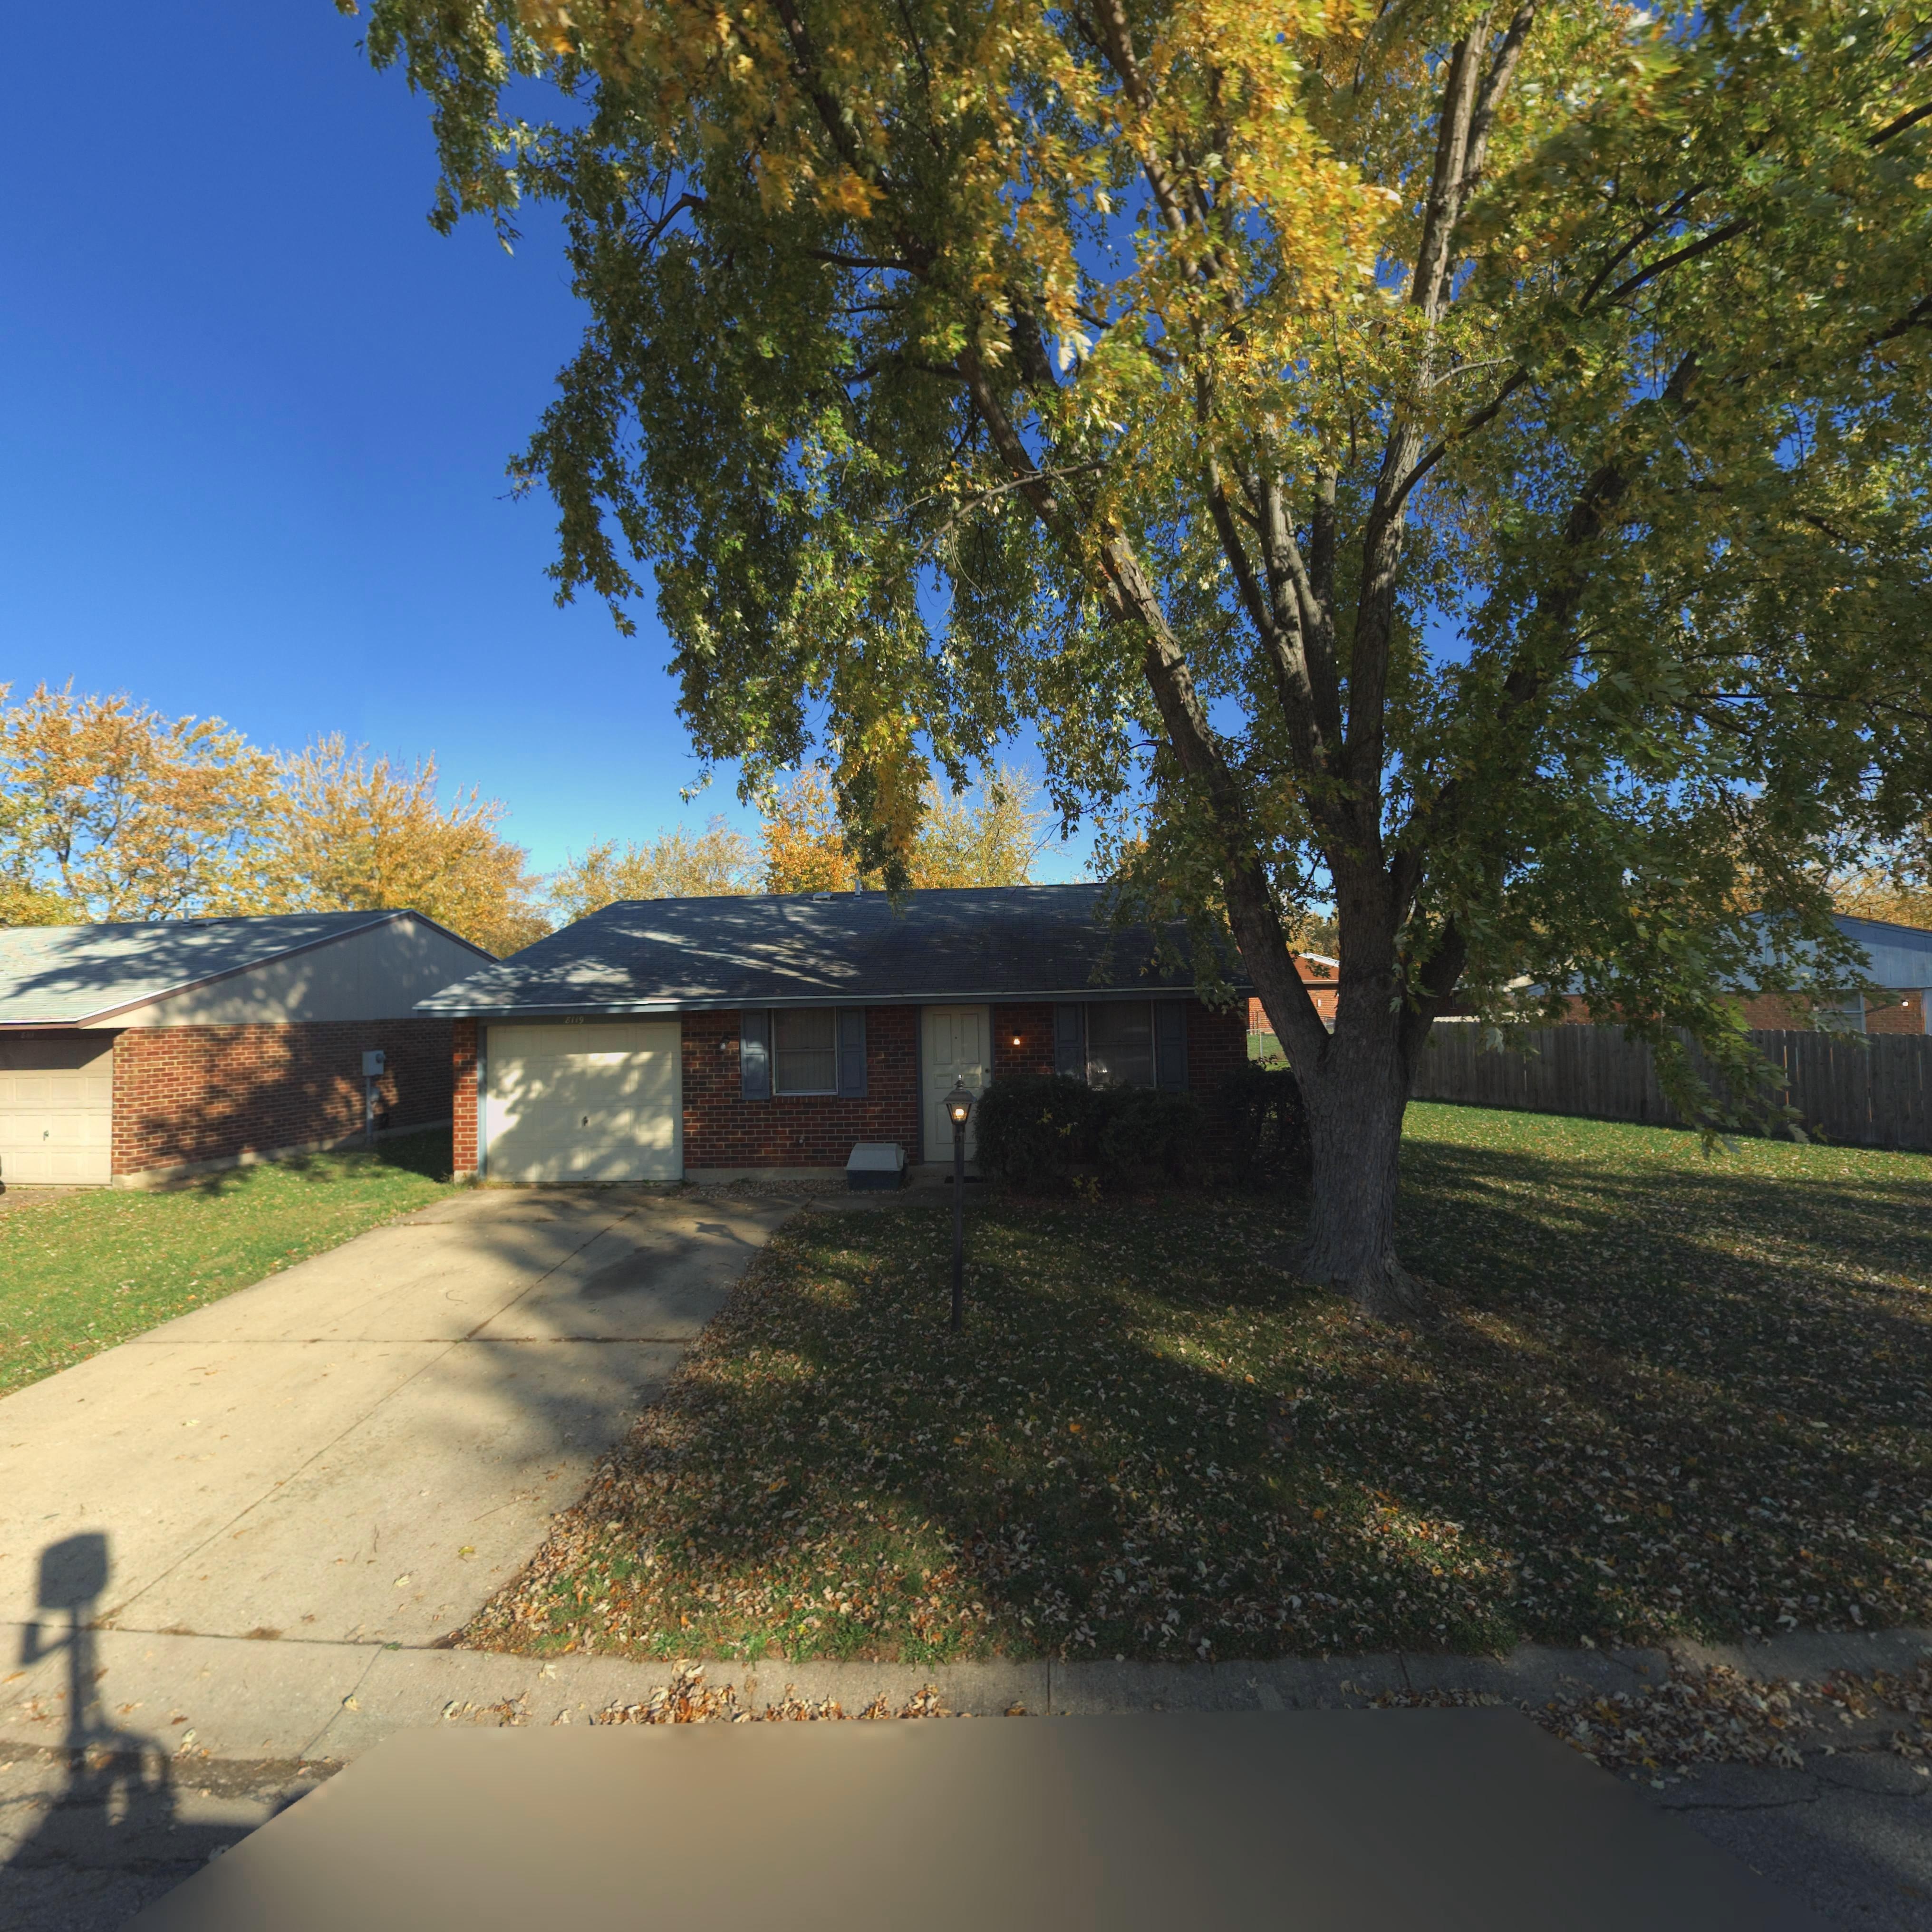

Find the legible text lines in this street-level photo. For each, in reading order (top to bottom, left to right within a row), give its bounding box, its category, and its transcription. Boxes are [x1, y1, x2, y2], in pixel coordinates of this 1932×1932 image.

[563, 1015, 585, 1025] StreetNumber: 8119